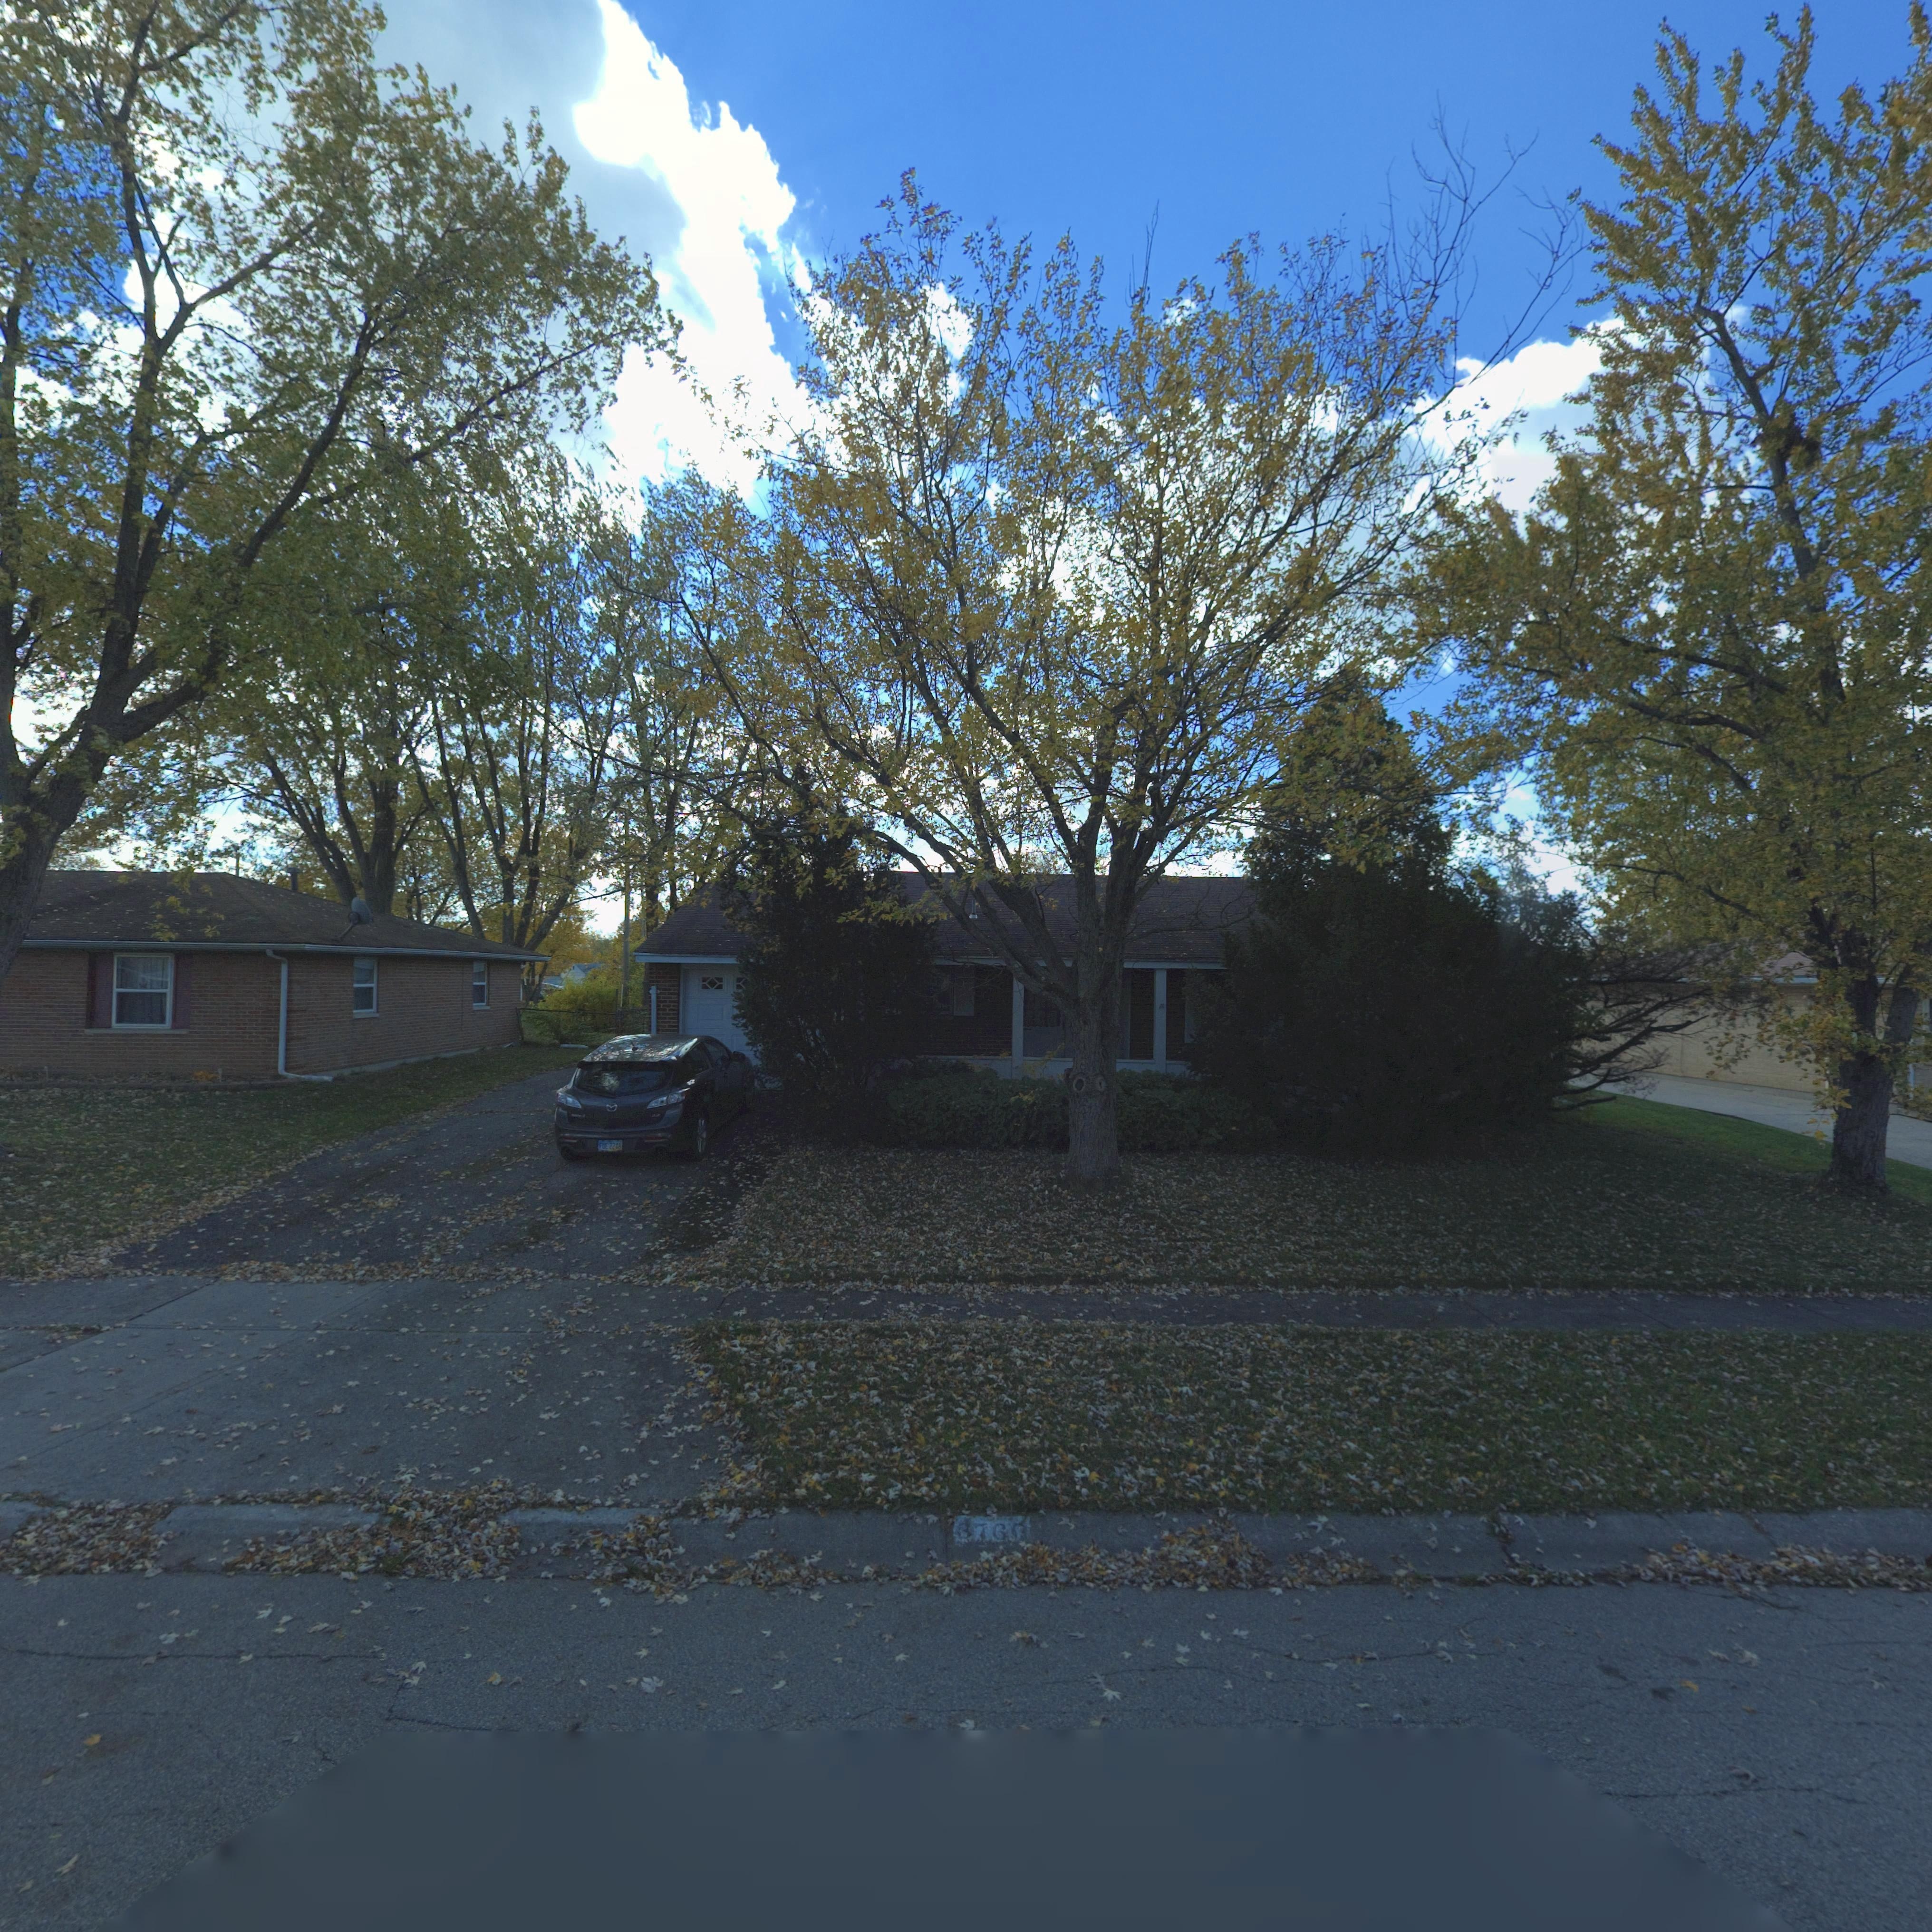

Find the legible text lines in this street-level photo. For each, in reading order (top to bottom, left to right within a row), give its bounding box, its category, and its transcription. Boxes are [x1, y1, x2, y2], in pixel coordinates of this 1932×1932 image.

[955, 1521, 1029, 1543] StreetNumber: 6760